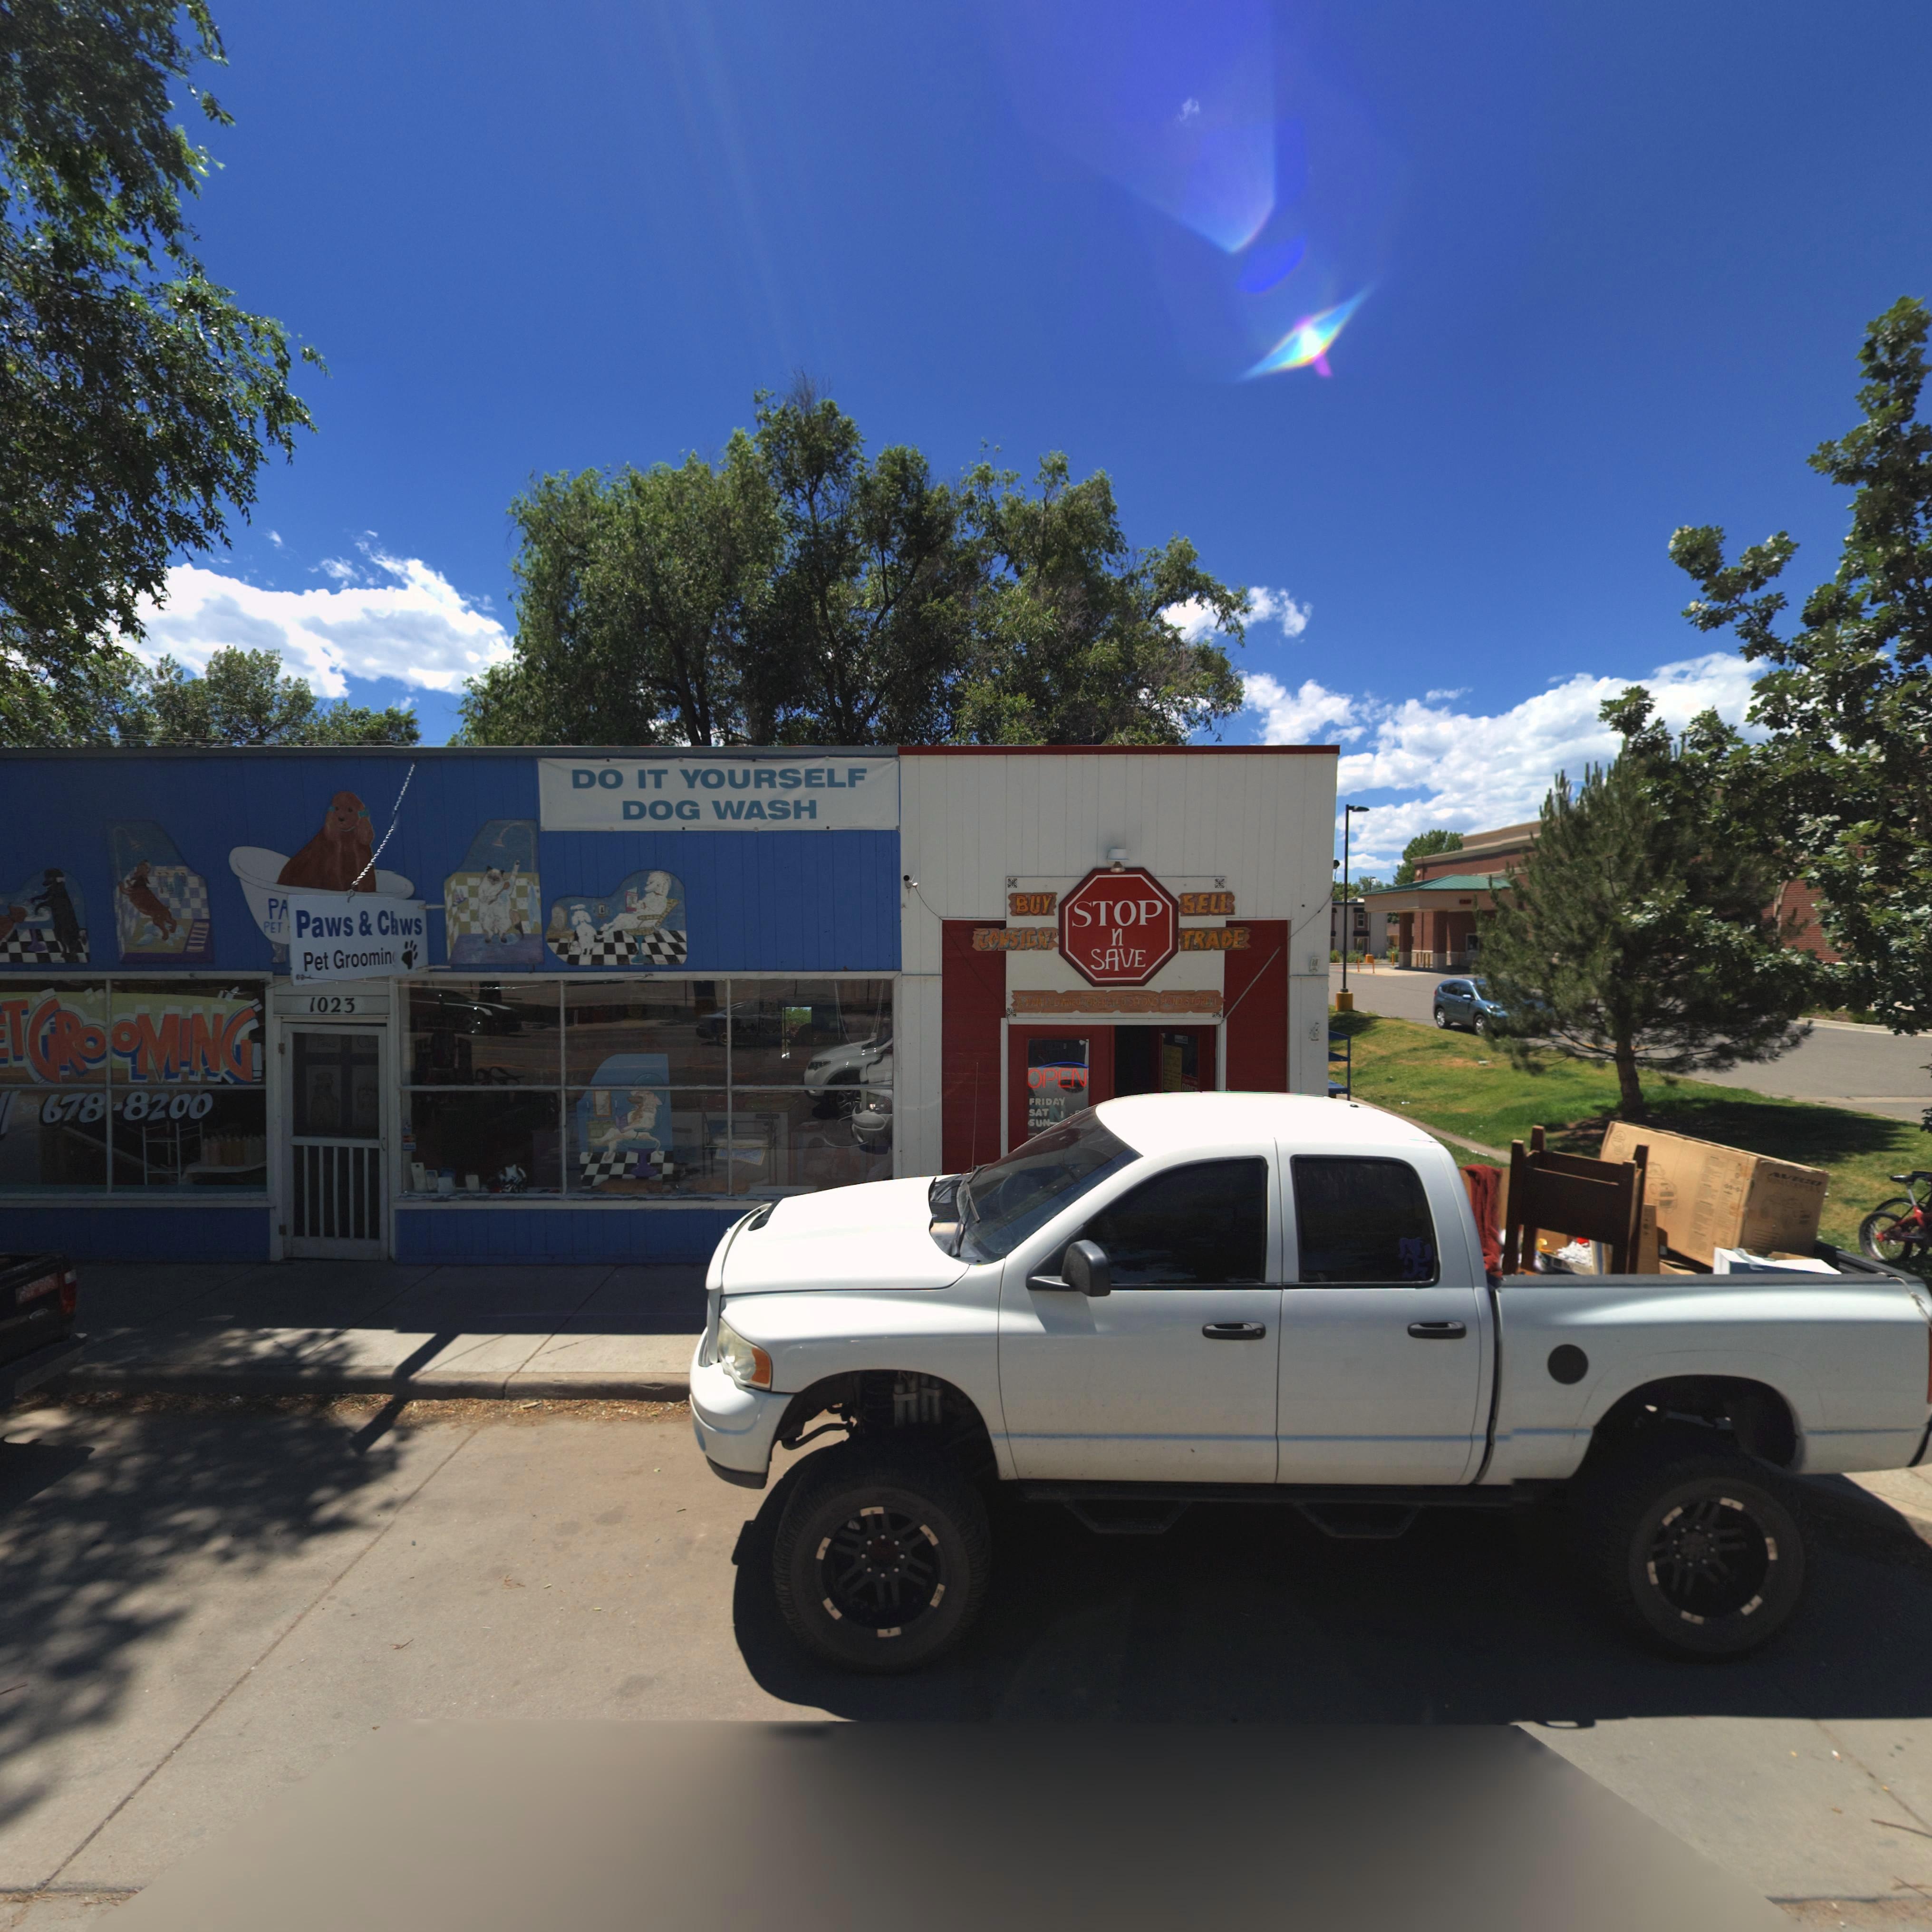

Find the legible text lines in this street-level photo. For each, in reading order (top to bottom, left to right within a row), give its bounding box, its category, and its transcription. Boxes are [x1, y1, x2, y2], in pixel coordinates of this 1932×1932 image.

[263, 921, 283, 933] BusinessName: PET
[267, 897, 289, 920] BusinessName: P*
[295, 909, 423, 938] BusinessName: Paws & Cl*ws
[1111, 927, 1123, 946] BusinessName: n
[1071, 899, 1163, 927] BusinessName: STOP
[302, 947, 392, 972] BusinessName: Pet Groomin
[1090, 947, 1146, 971] BusinessName: SAVE
[310, 996, 356, 1014] StreetNumber: 1023